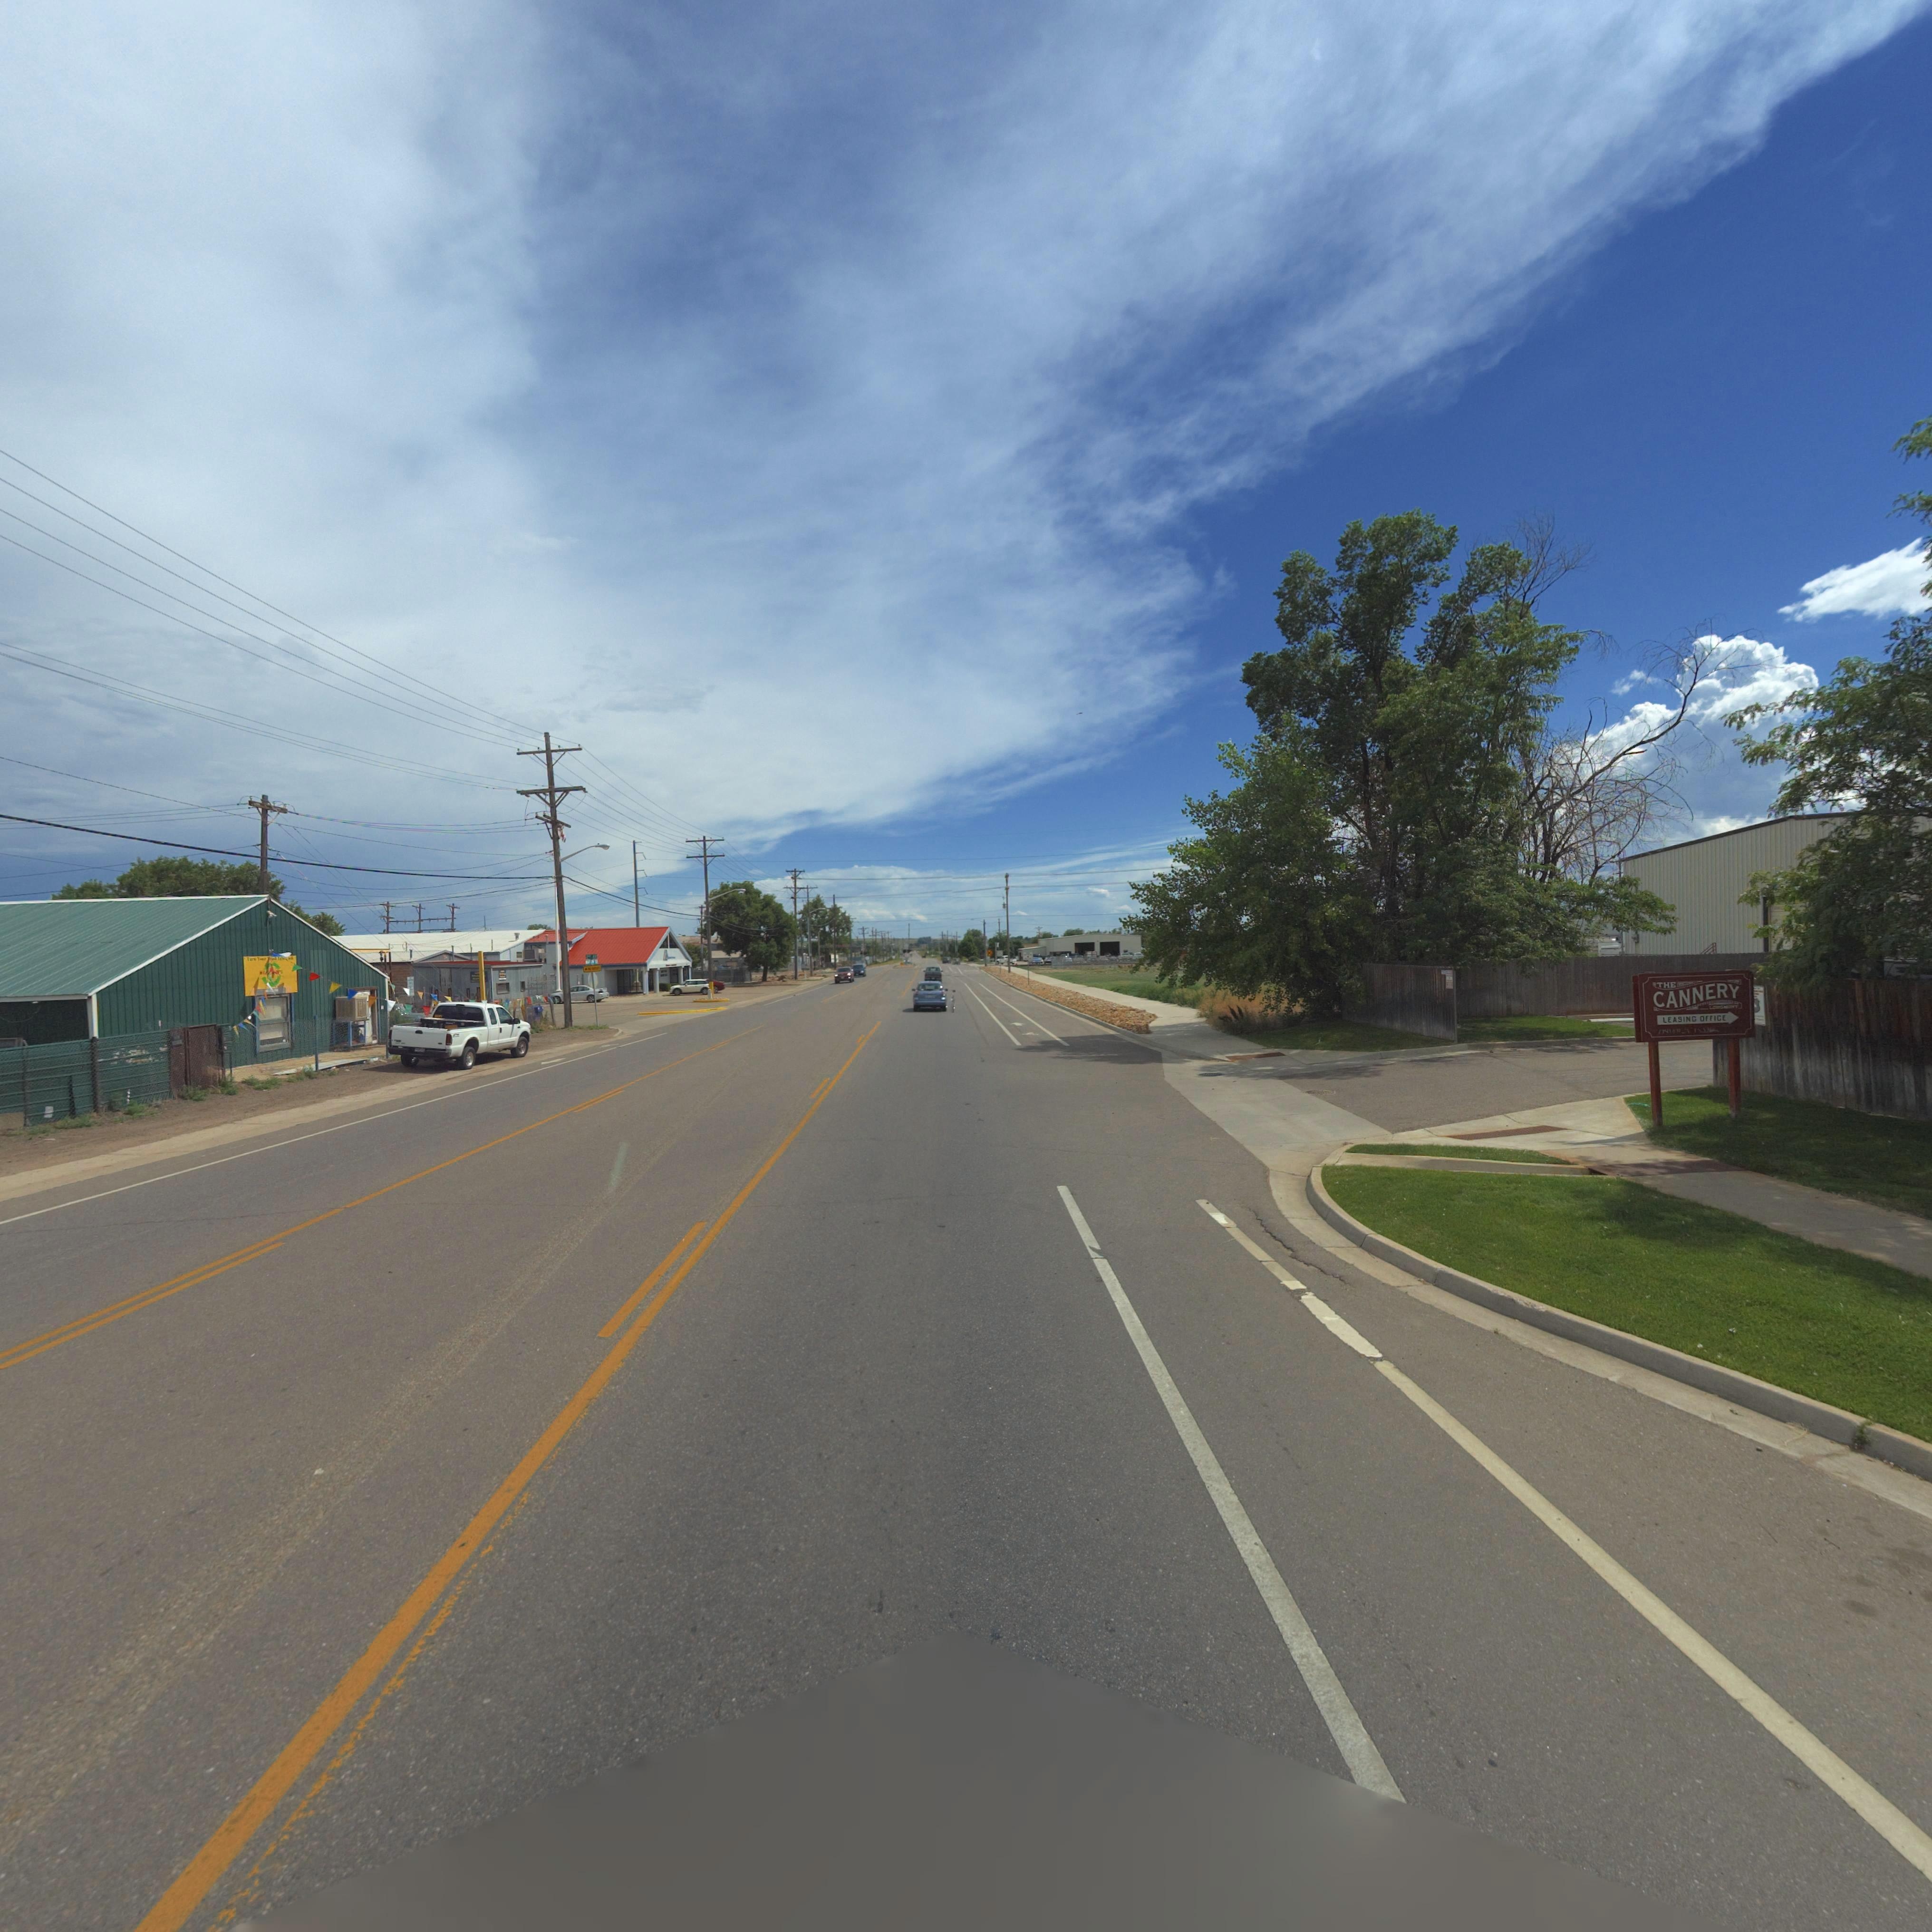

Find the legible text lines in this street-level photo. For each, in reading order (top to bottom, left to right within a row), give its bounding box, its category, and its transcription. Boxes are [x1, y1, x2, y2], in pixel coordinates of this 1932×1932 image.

[586, 954, 597, 959] StreetName: 2* **
[1656, 981, 1676, 988] BusinessName: THE
[1652, 982, 1740, 1009] BusinessName: CANNERY